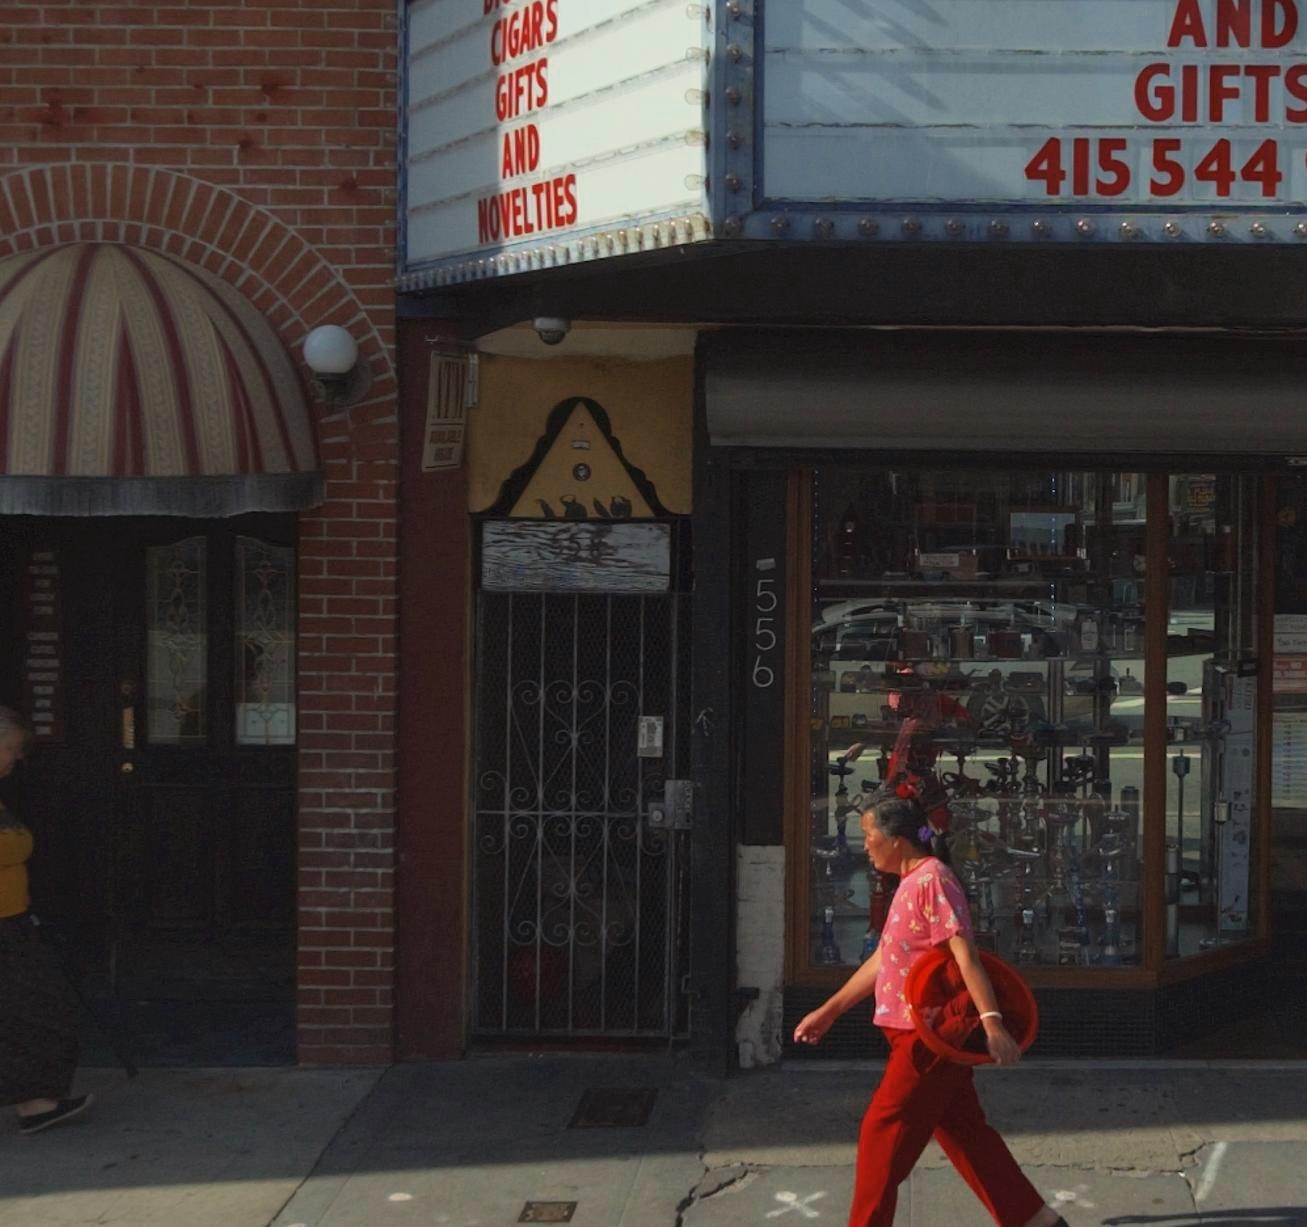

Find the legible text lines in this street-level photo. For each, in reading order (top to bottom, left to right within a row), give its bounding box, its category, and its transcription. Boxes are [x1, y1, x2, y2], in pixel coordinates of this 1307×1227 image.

[489, 0, 544, 67] None: CIGAR
[1166, 0, 1250, 49] None: AN
[493, 56, 548, 123] None: GIFTS
[1132, 61, 1282, 125] None: GIFT
[501, 122, 541, 181] None: AND
[1023, 135, 1285, 198] None: 415 544
[476, 172, 577, 246] None: NOVELTIES
[428, 358, 467, 422] None: ATM
[550, 526, 605, 562] StreetNumber: 558
[752, 577, 778, 690] StreetNumber: 556